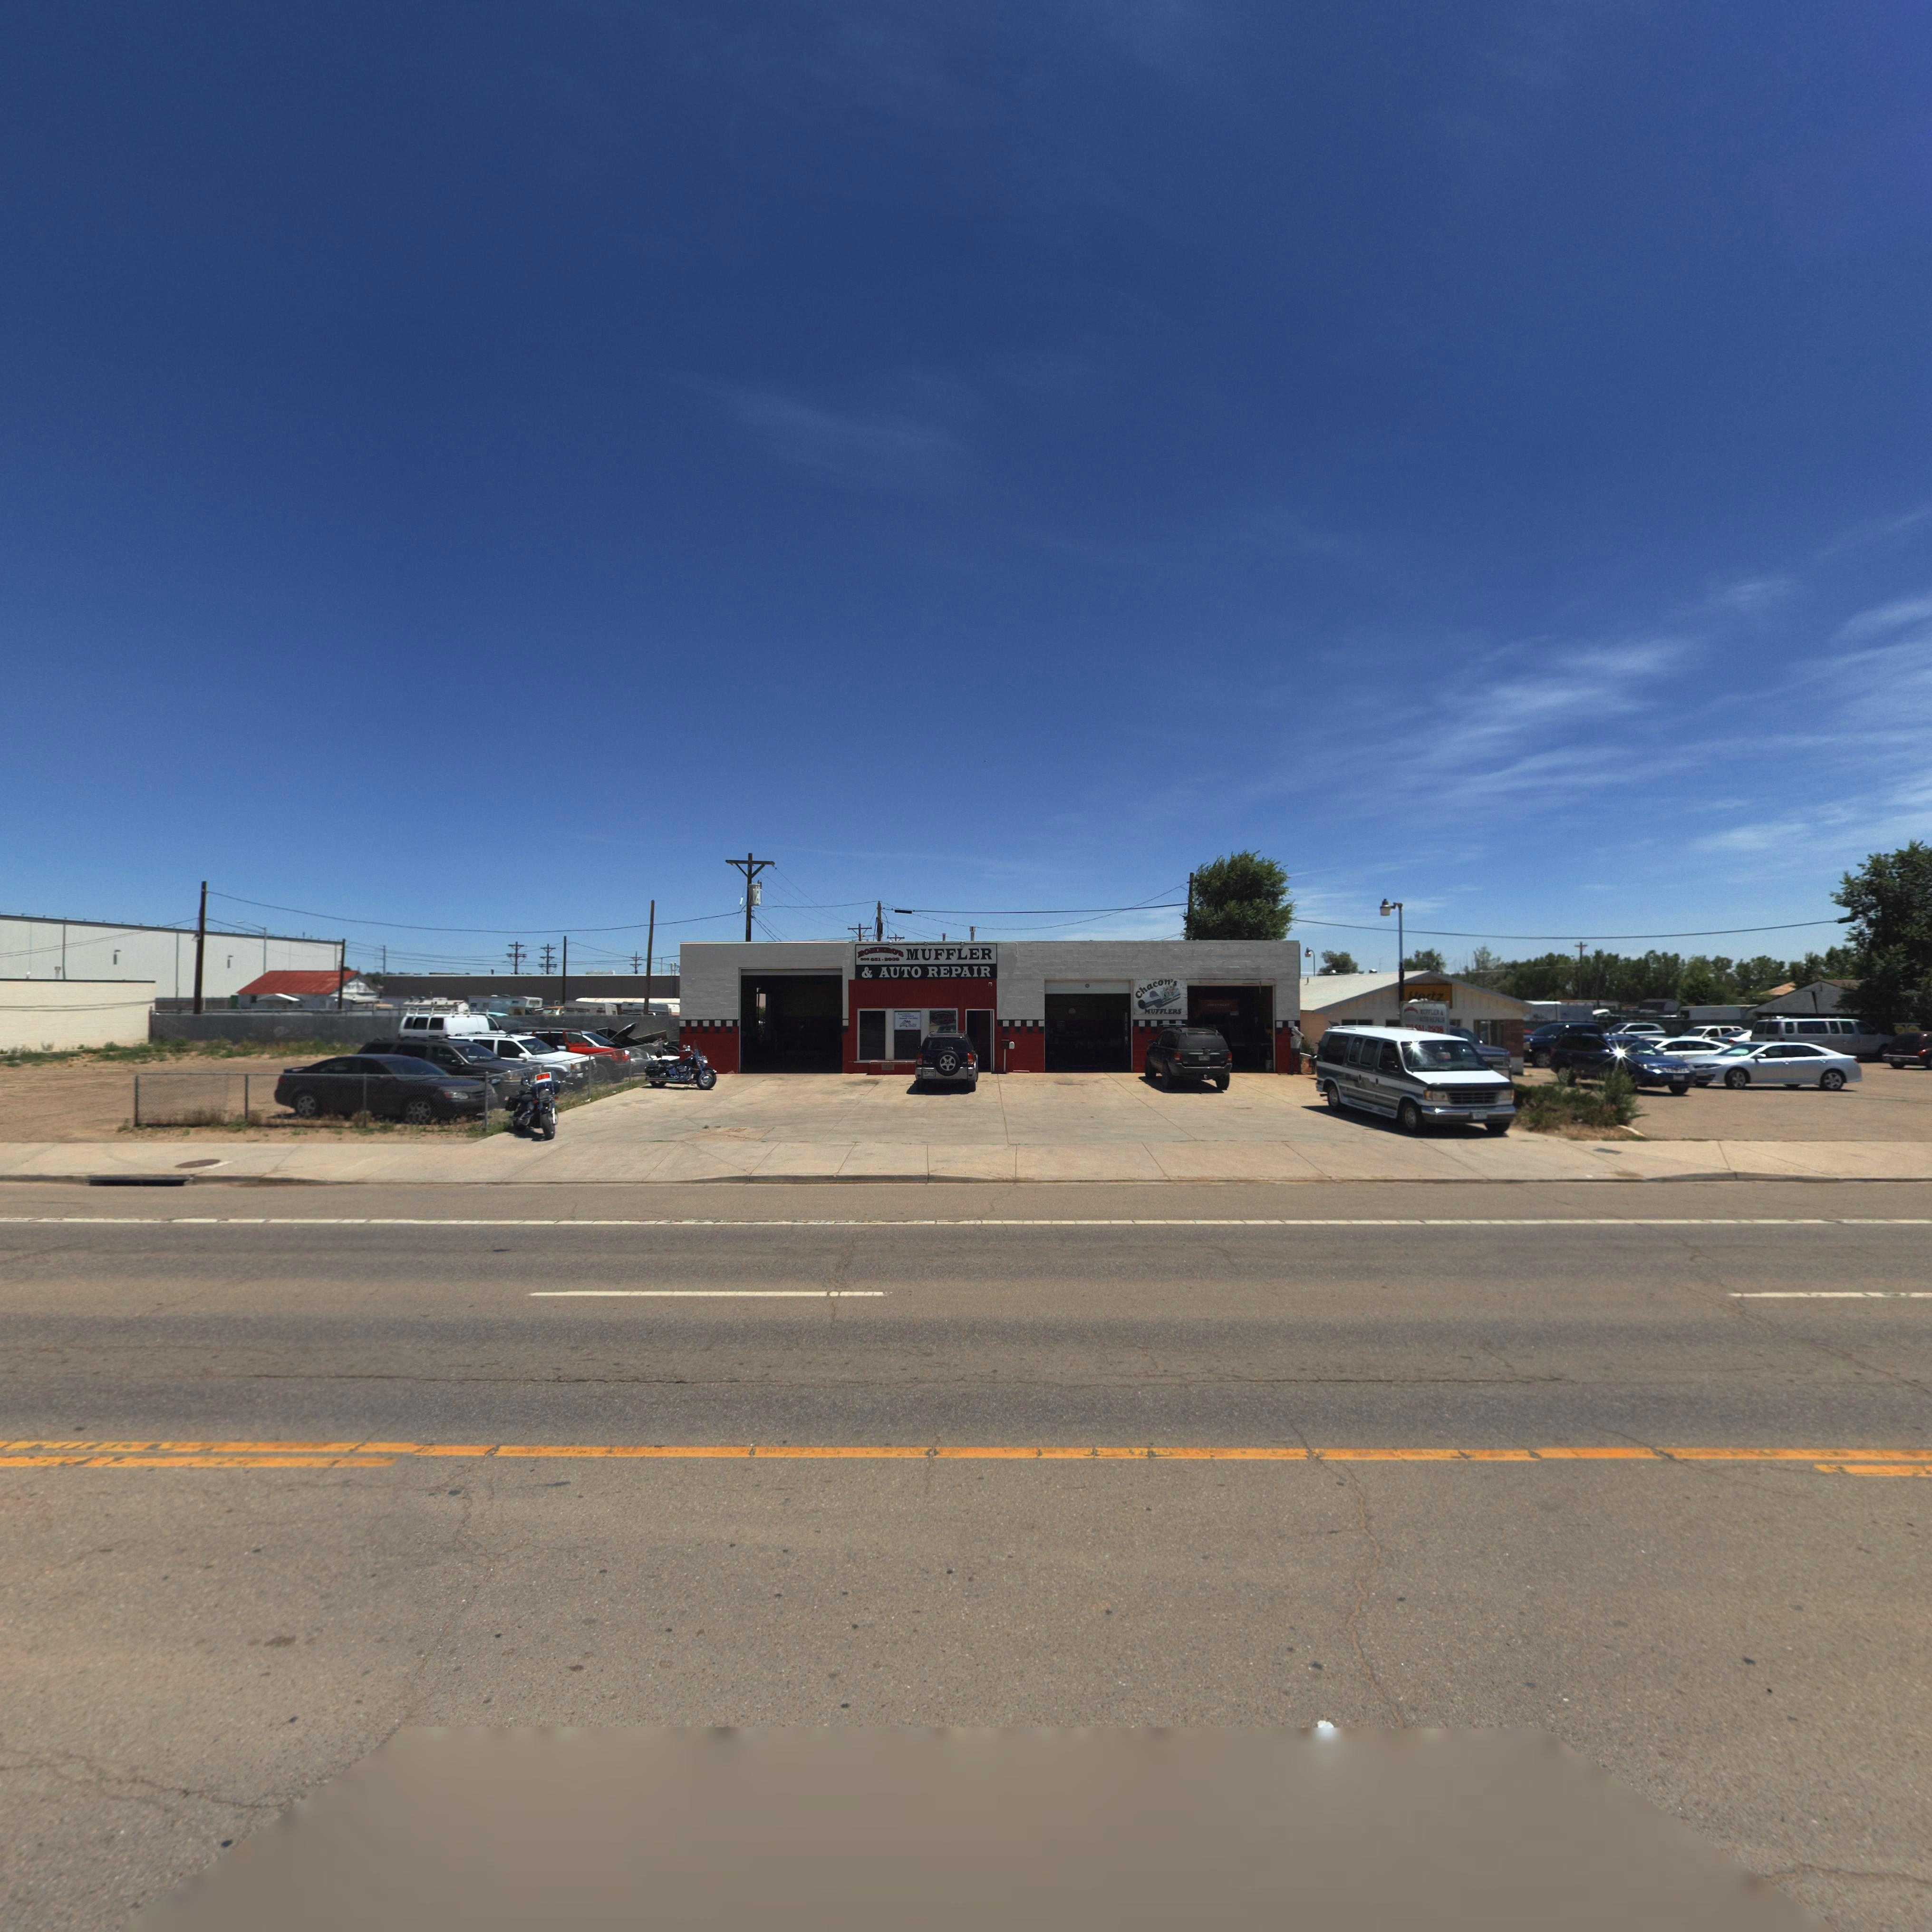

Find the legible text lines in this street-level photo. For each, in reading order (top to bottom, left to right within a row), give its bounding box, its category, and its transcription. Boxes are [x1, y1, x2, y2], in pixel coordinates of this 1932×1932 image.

[856, 946, 905, 959] BusinessName: ROMERO'S
[905, 948, 993, 960] BusinessName: MUFFLER
[862, 966, 991, 978] BusinessName: & AUTO REPAIR
[1132, 978, 1179, 1000] BusinessName: Chacon's
[1407, 990, 1445, 1002] BusinessName: Hertz
[1143, 1007, 1181, 1014] BusinessName: MUFFLERS